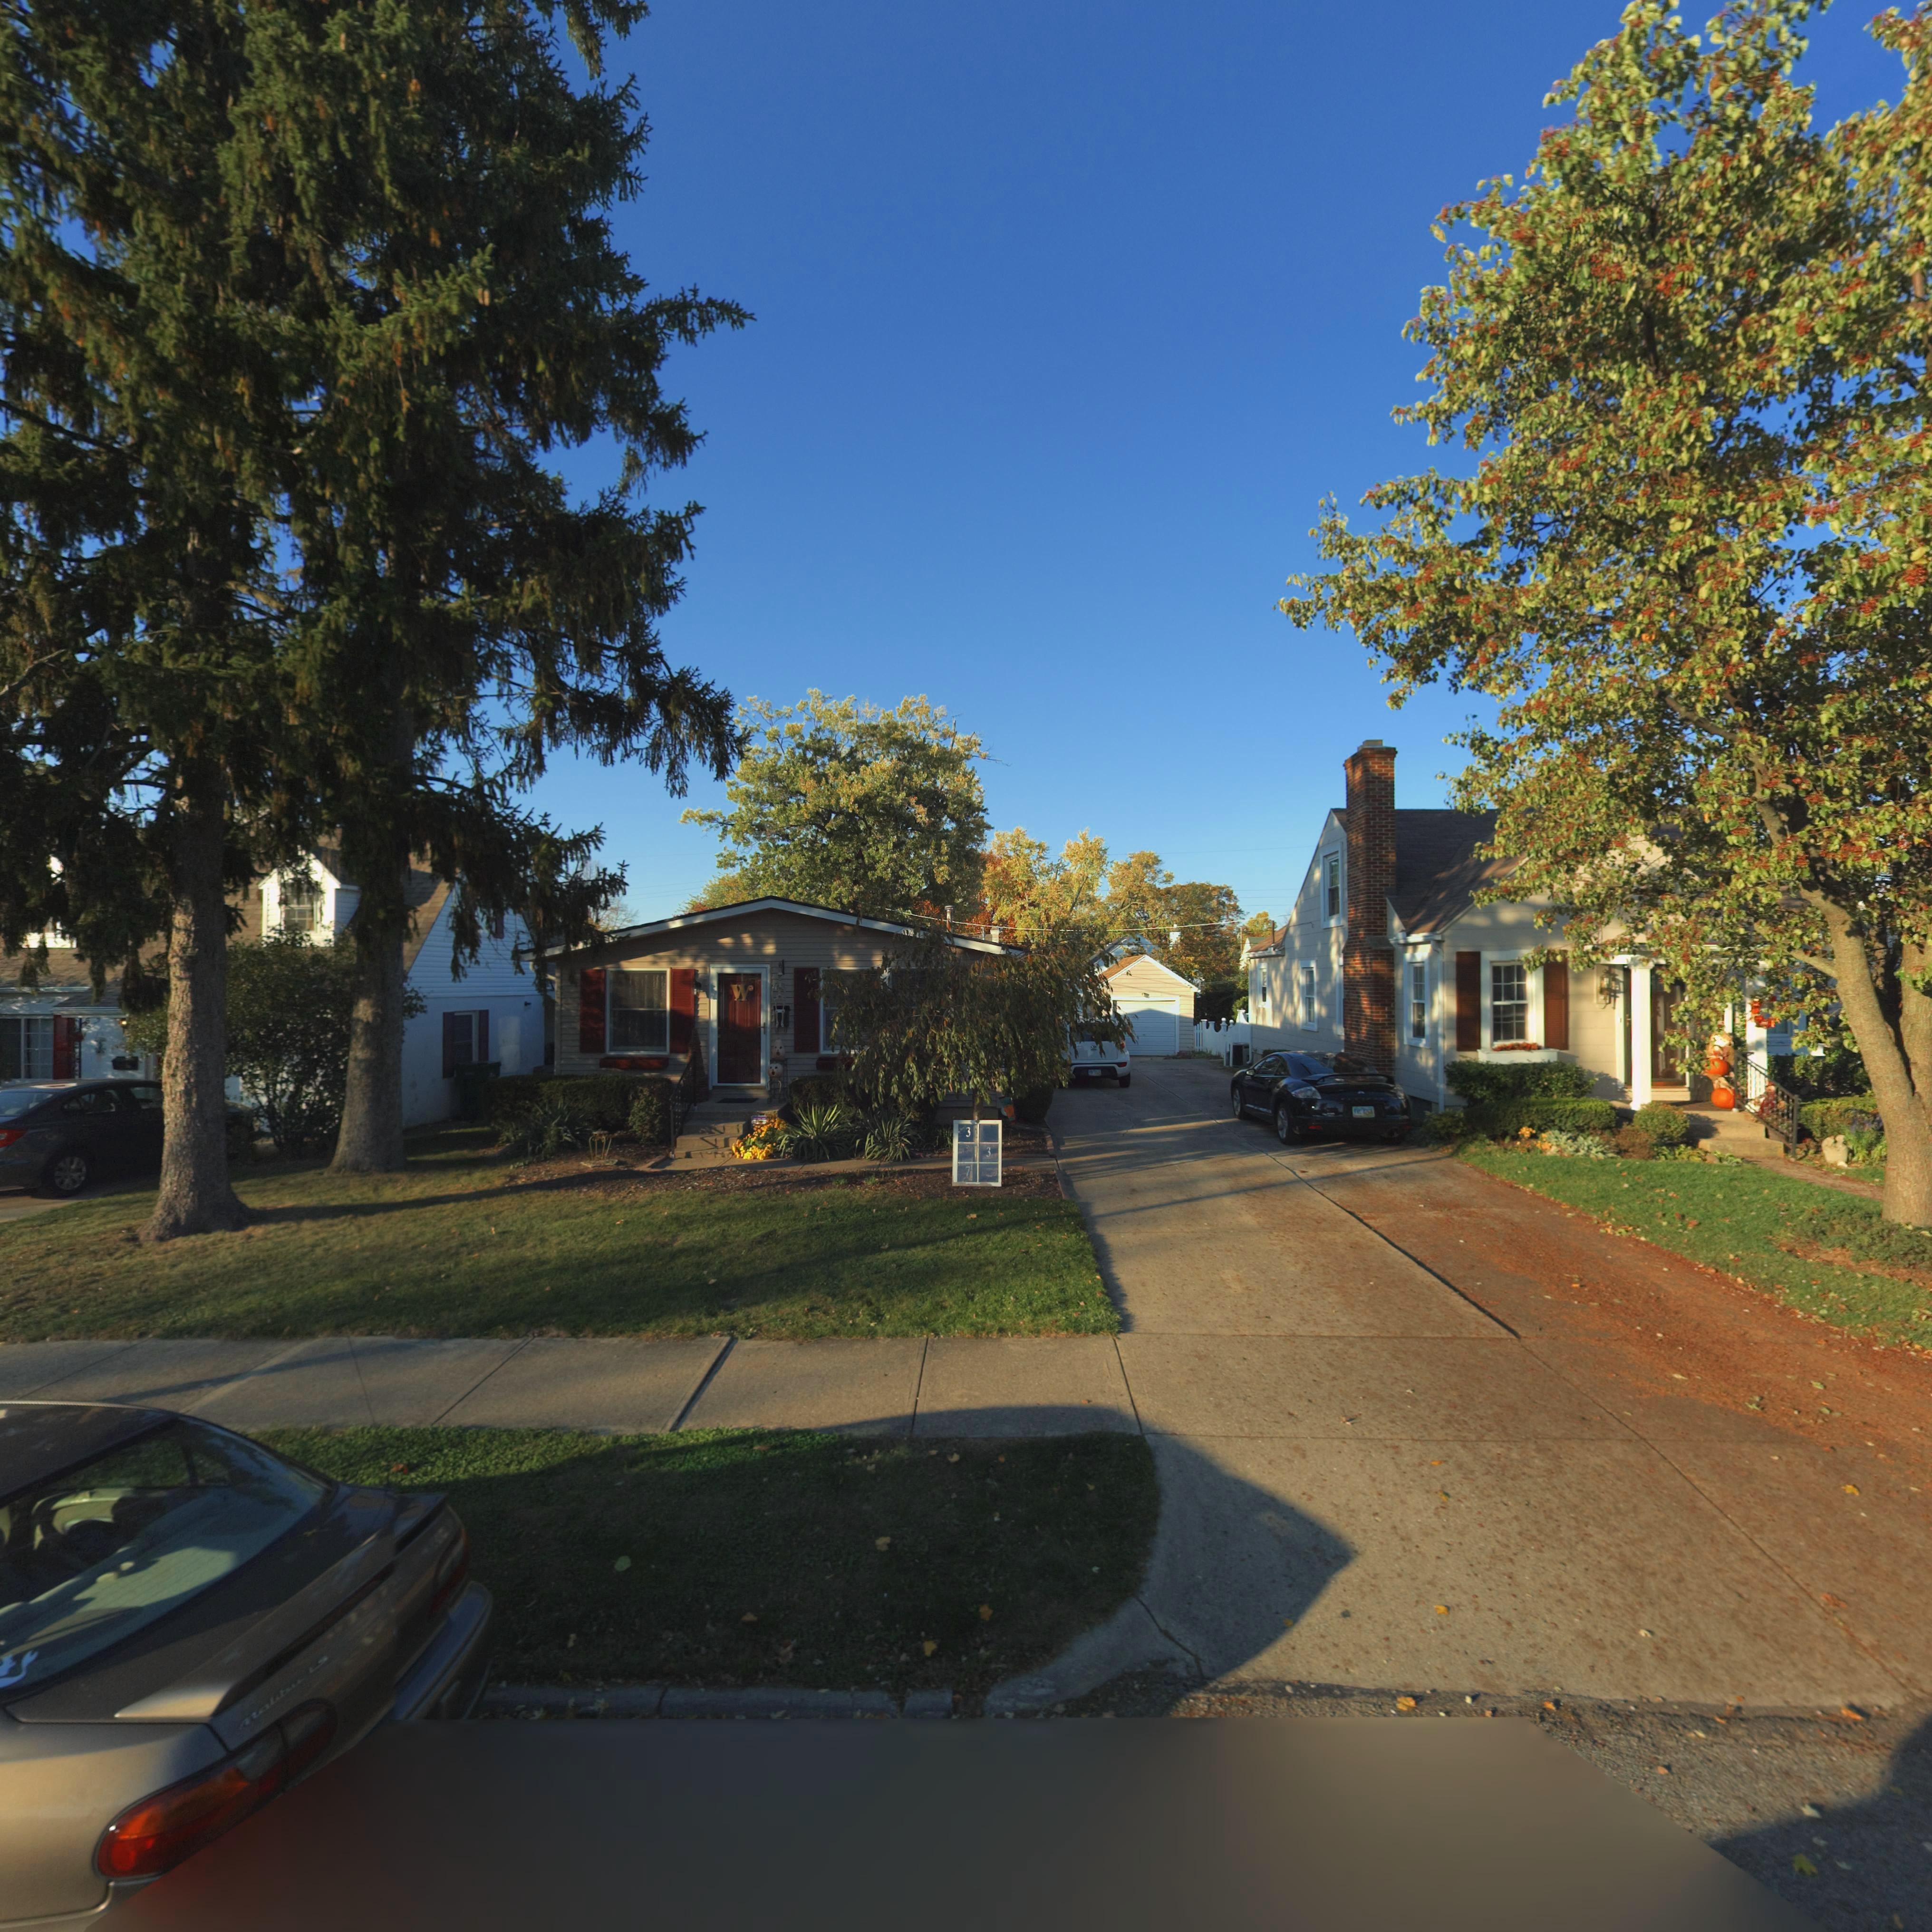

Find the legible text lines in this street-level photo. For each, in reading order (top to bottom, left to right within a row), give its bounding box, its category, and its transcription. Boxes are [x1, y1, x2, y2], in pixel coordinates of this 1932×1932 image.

[965, 1125, 972, 1139] StreetNumber: 3
[985, 1146, 992, 1159] StreetNumber: 3
[965, 1165, 972, 1178] StreetNumber: 7